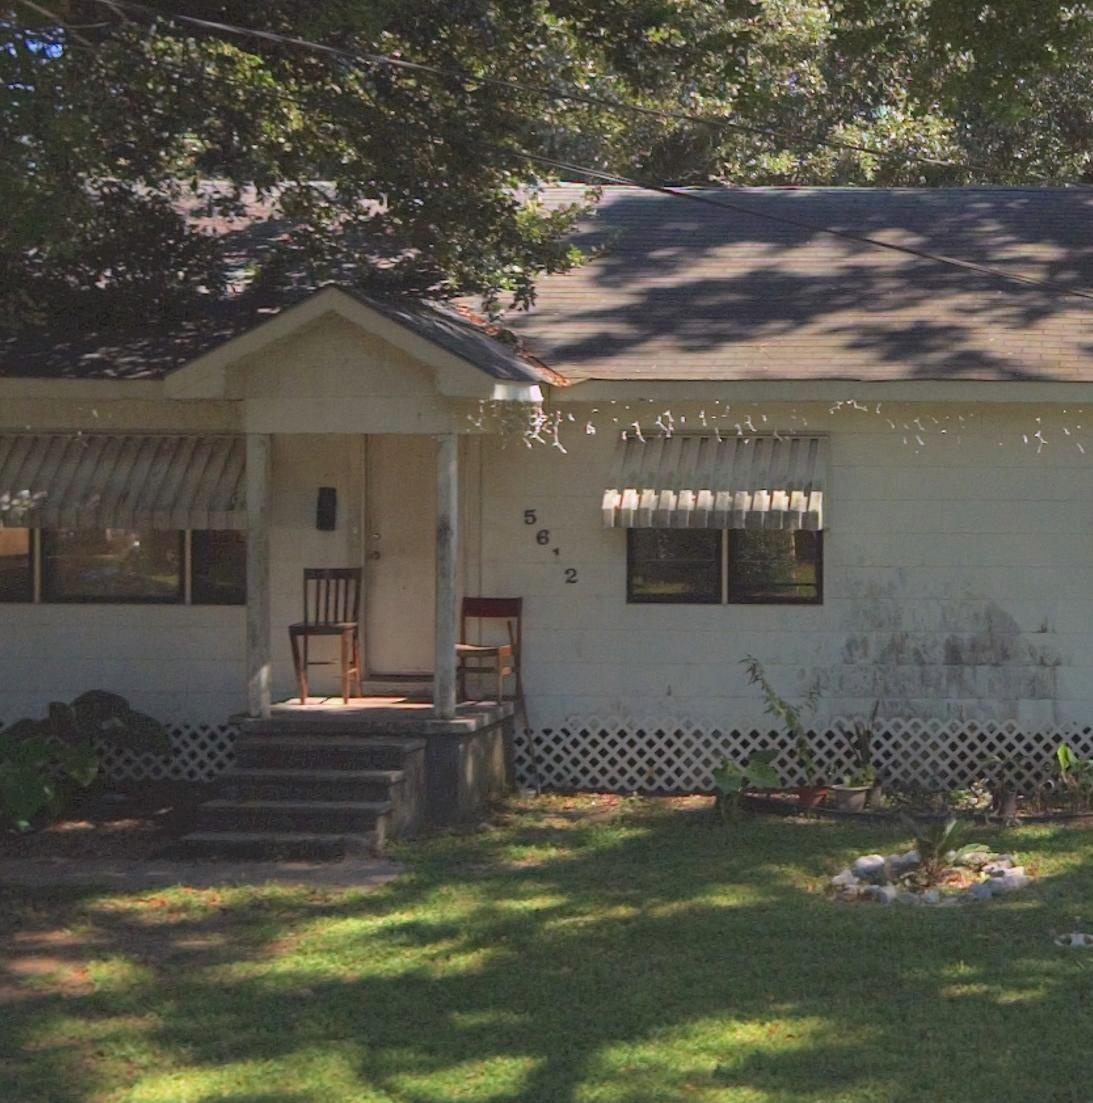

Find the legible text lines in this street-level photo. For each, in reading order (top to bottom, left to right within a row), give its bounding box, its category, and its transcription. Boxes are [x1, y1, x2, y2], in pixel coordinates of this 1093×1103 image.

[522, 507, 580, 586] StreetNumber: 56*2